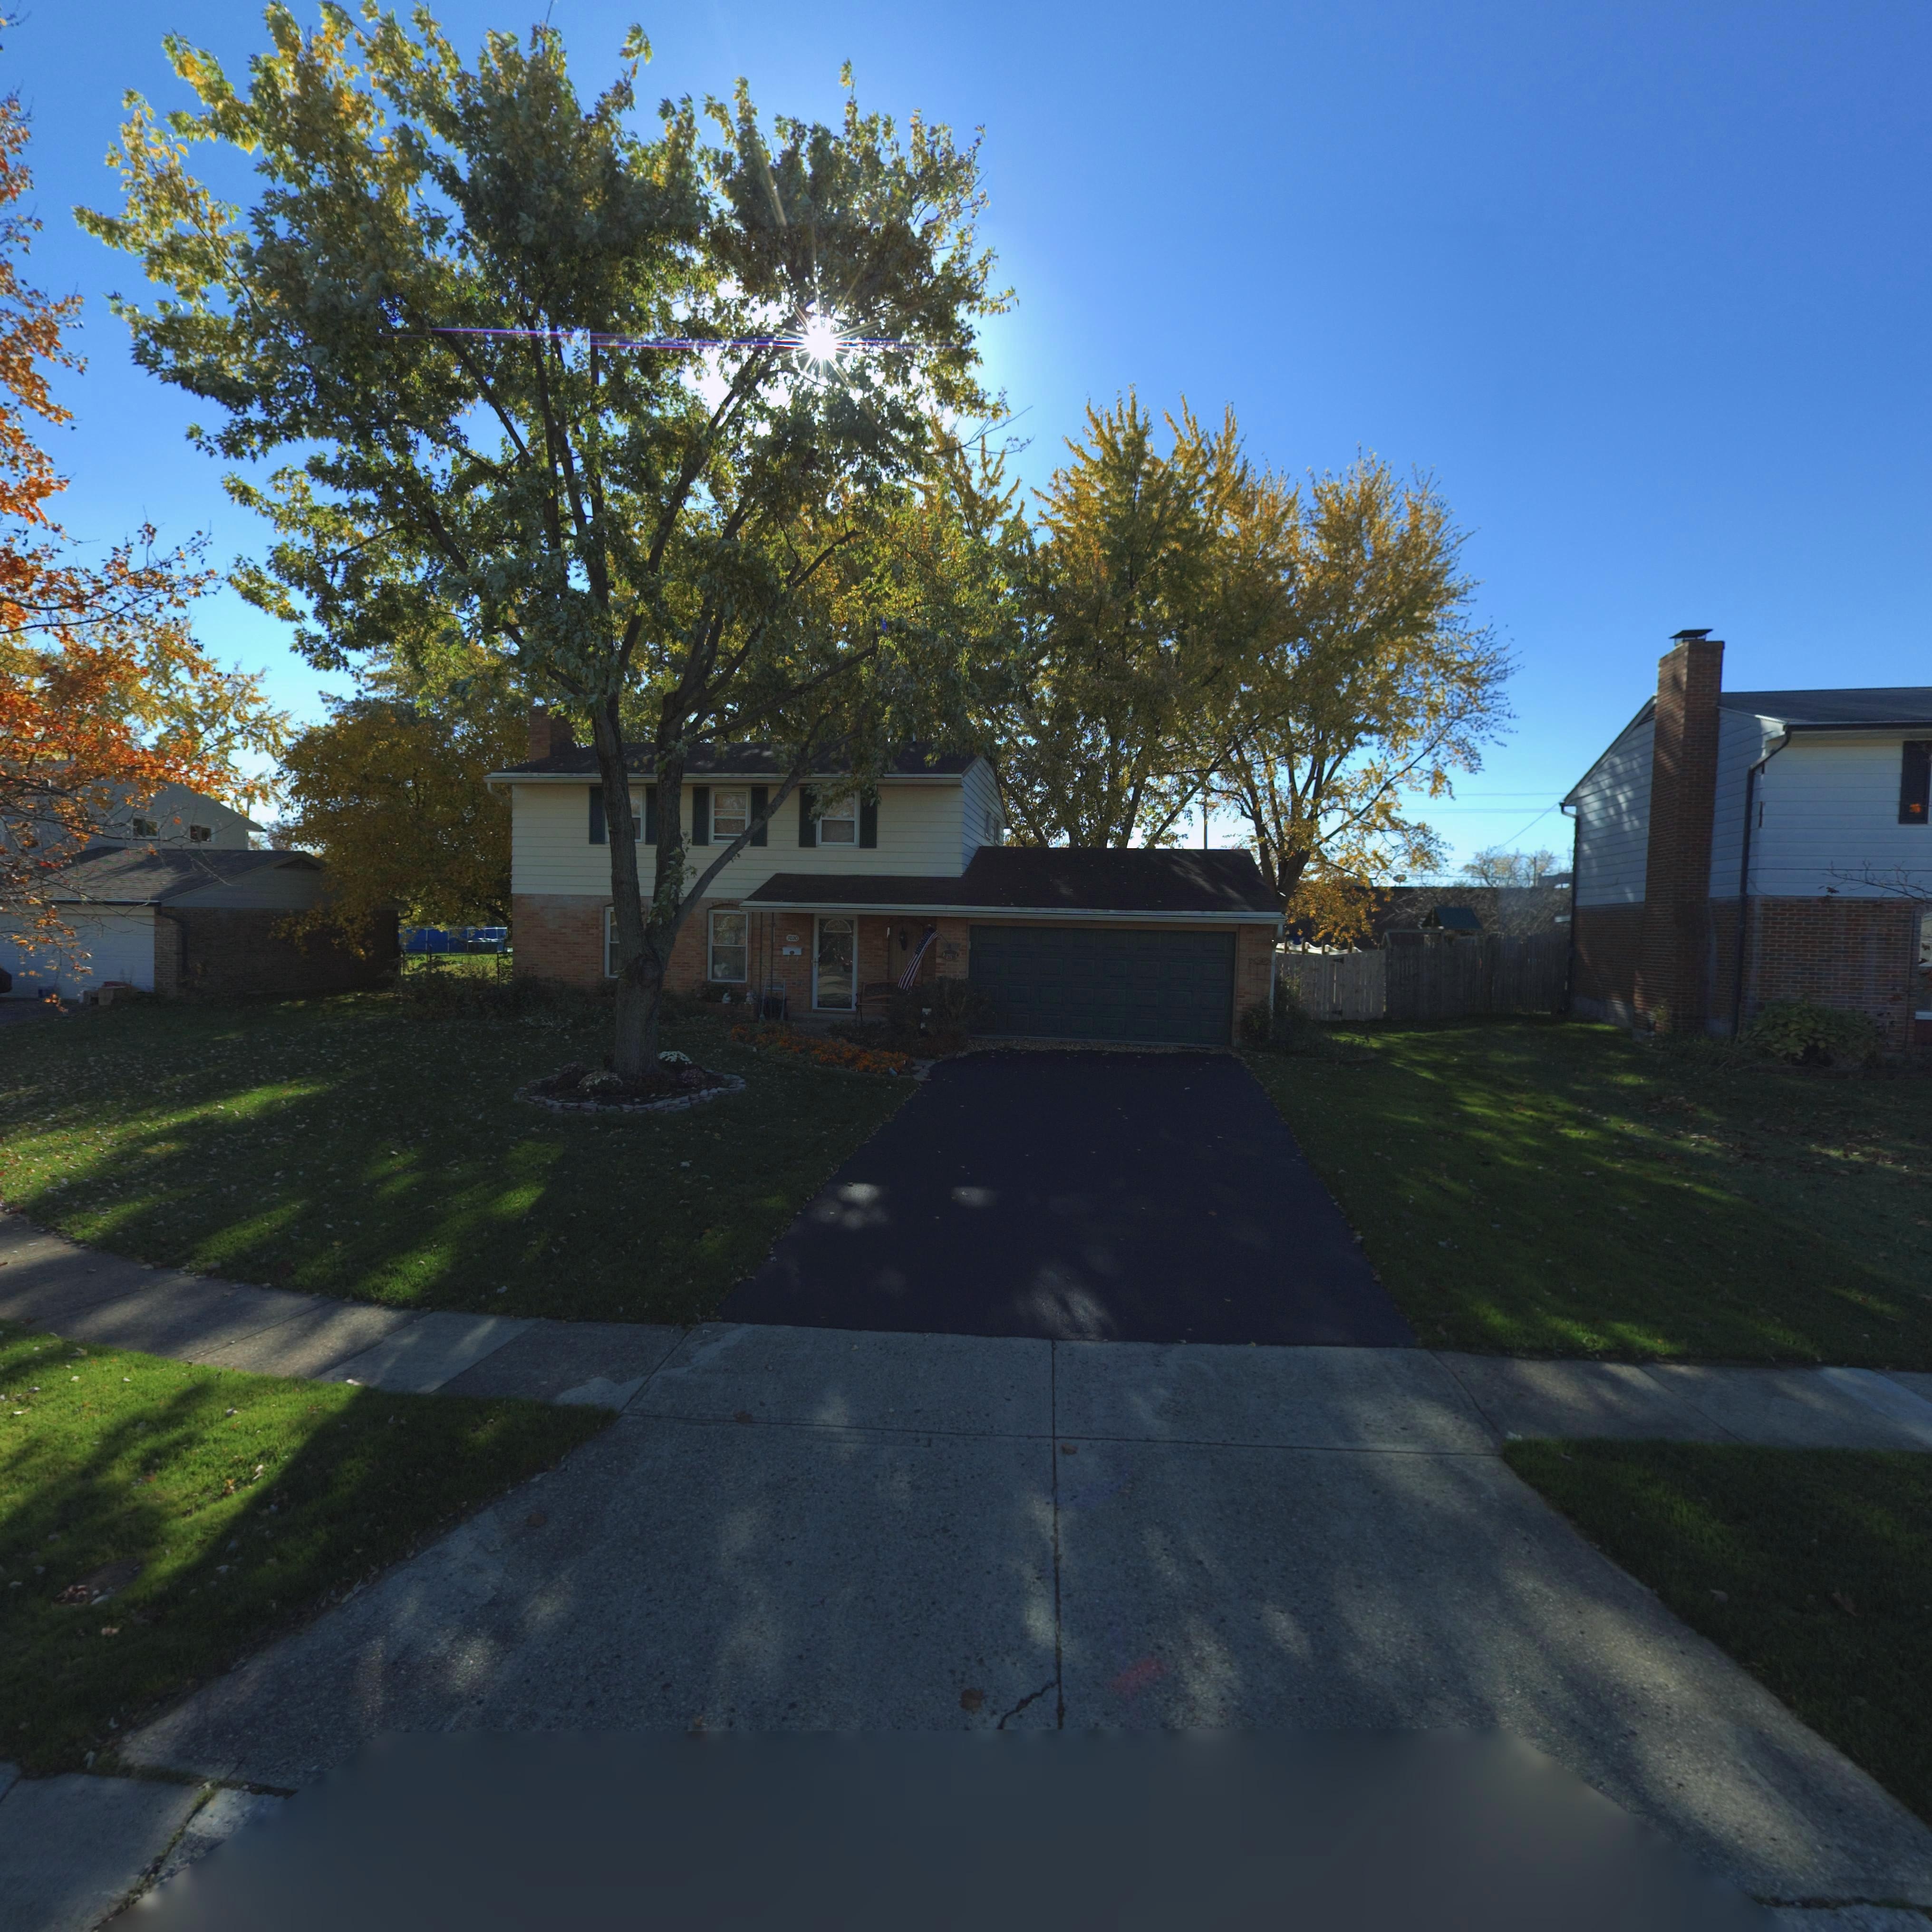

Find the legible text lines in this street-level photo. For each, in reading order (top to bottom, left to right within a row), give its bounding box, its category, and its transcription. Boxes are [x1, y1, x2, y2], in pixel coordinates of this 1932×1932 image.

[787, 935, 798, 941] StreetNumber: 7020